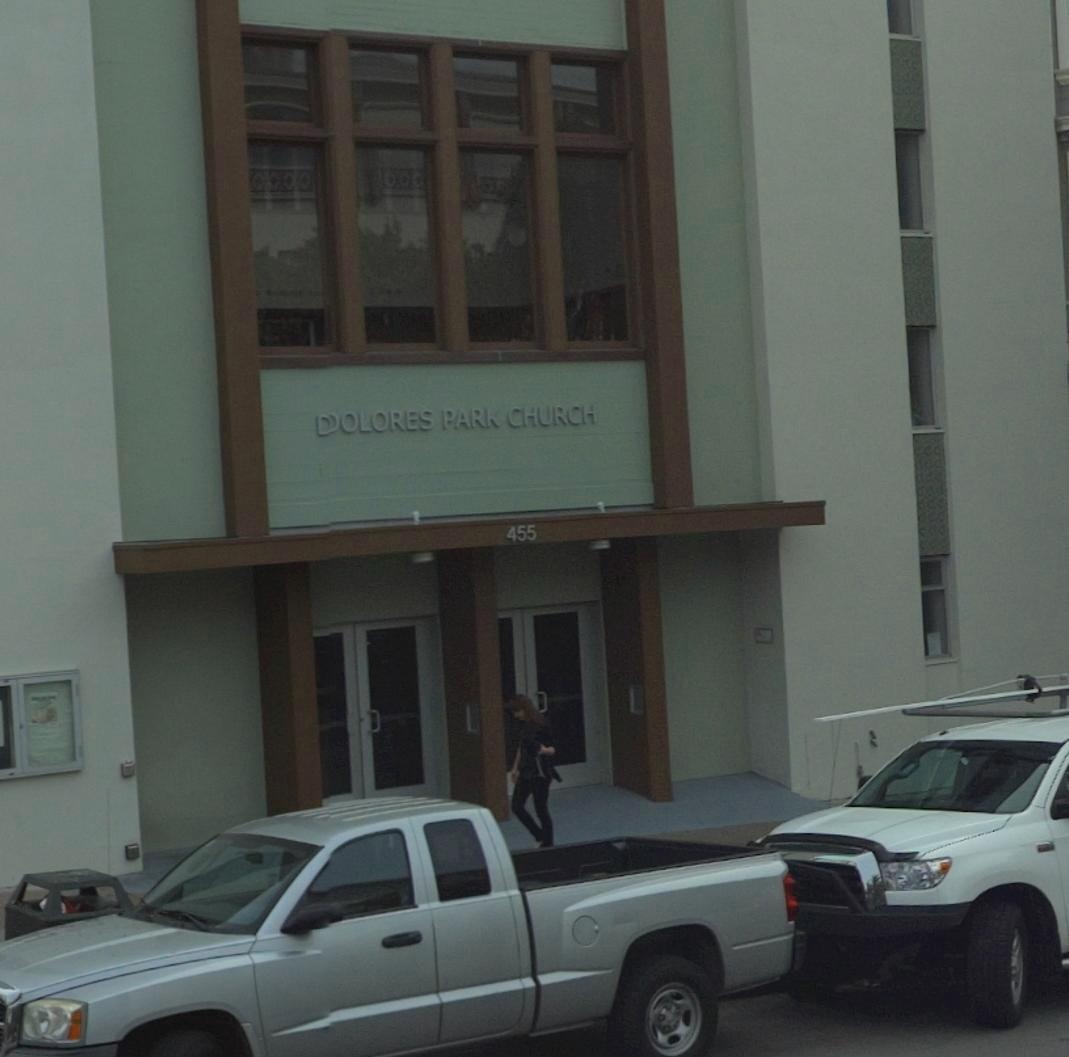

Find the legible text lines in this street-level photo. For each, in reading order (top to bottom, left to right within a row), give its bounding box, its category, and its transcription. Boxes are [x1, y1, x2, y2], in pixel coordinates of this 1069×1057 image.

[340, 403, 598, 434] BusinessName: OLORES PARK CHURCH
[505, 523, 538, 544] StreetNumber: 455